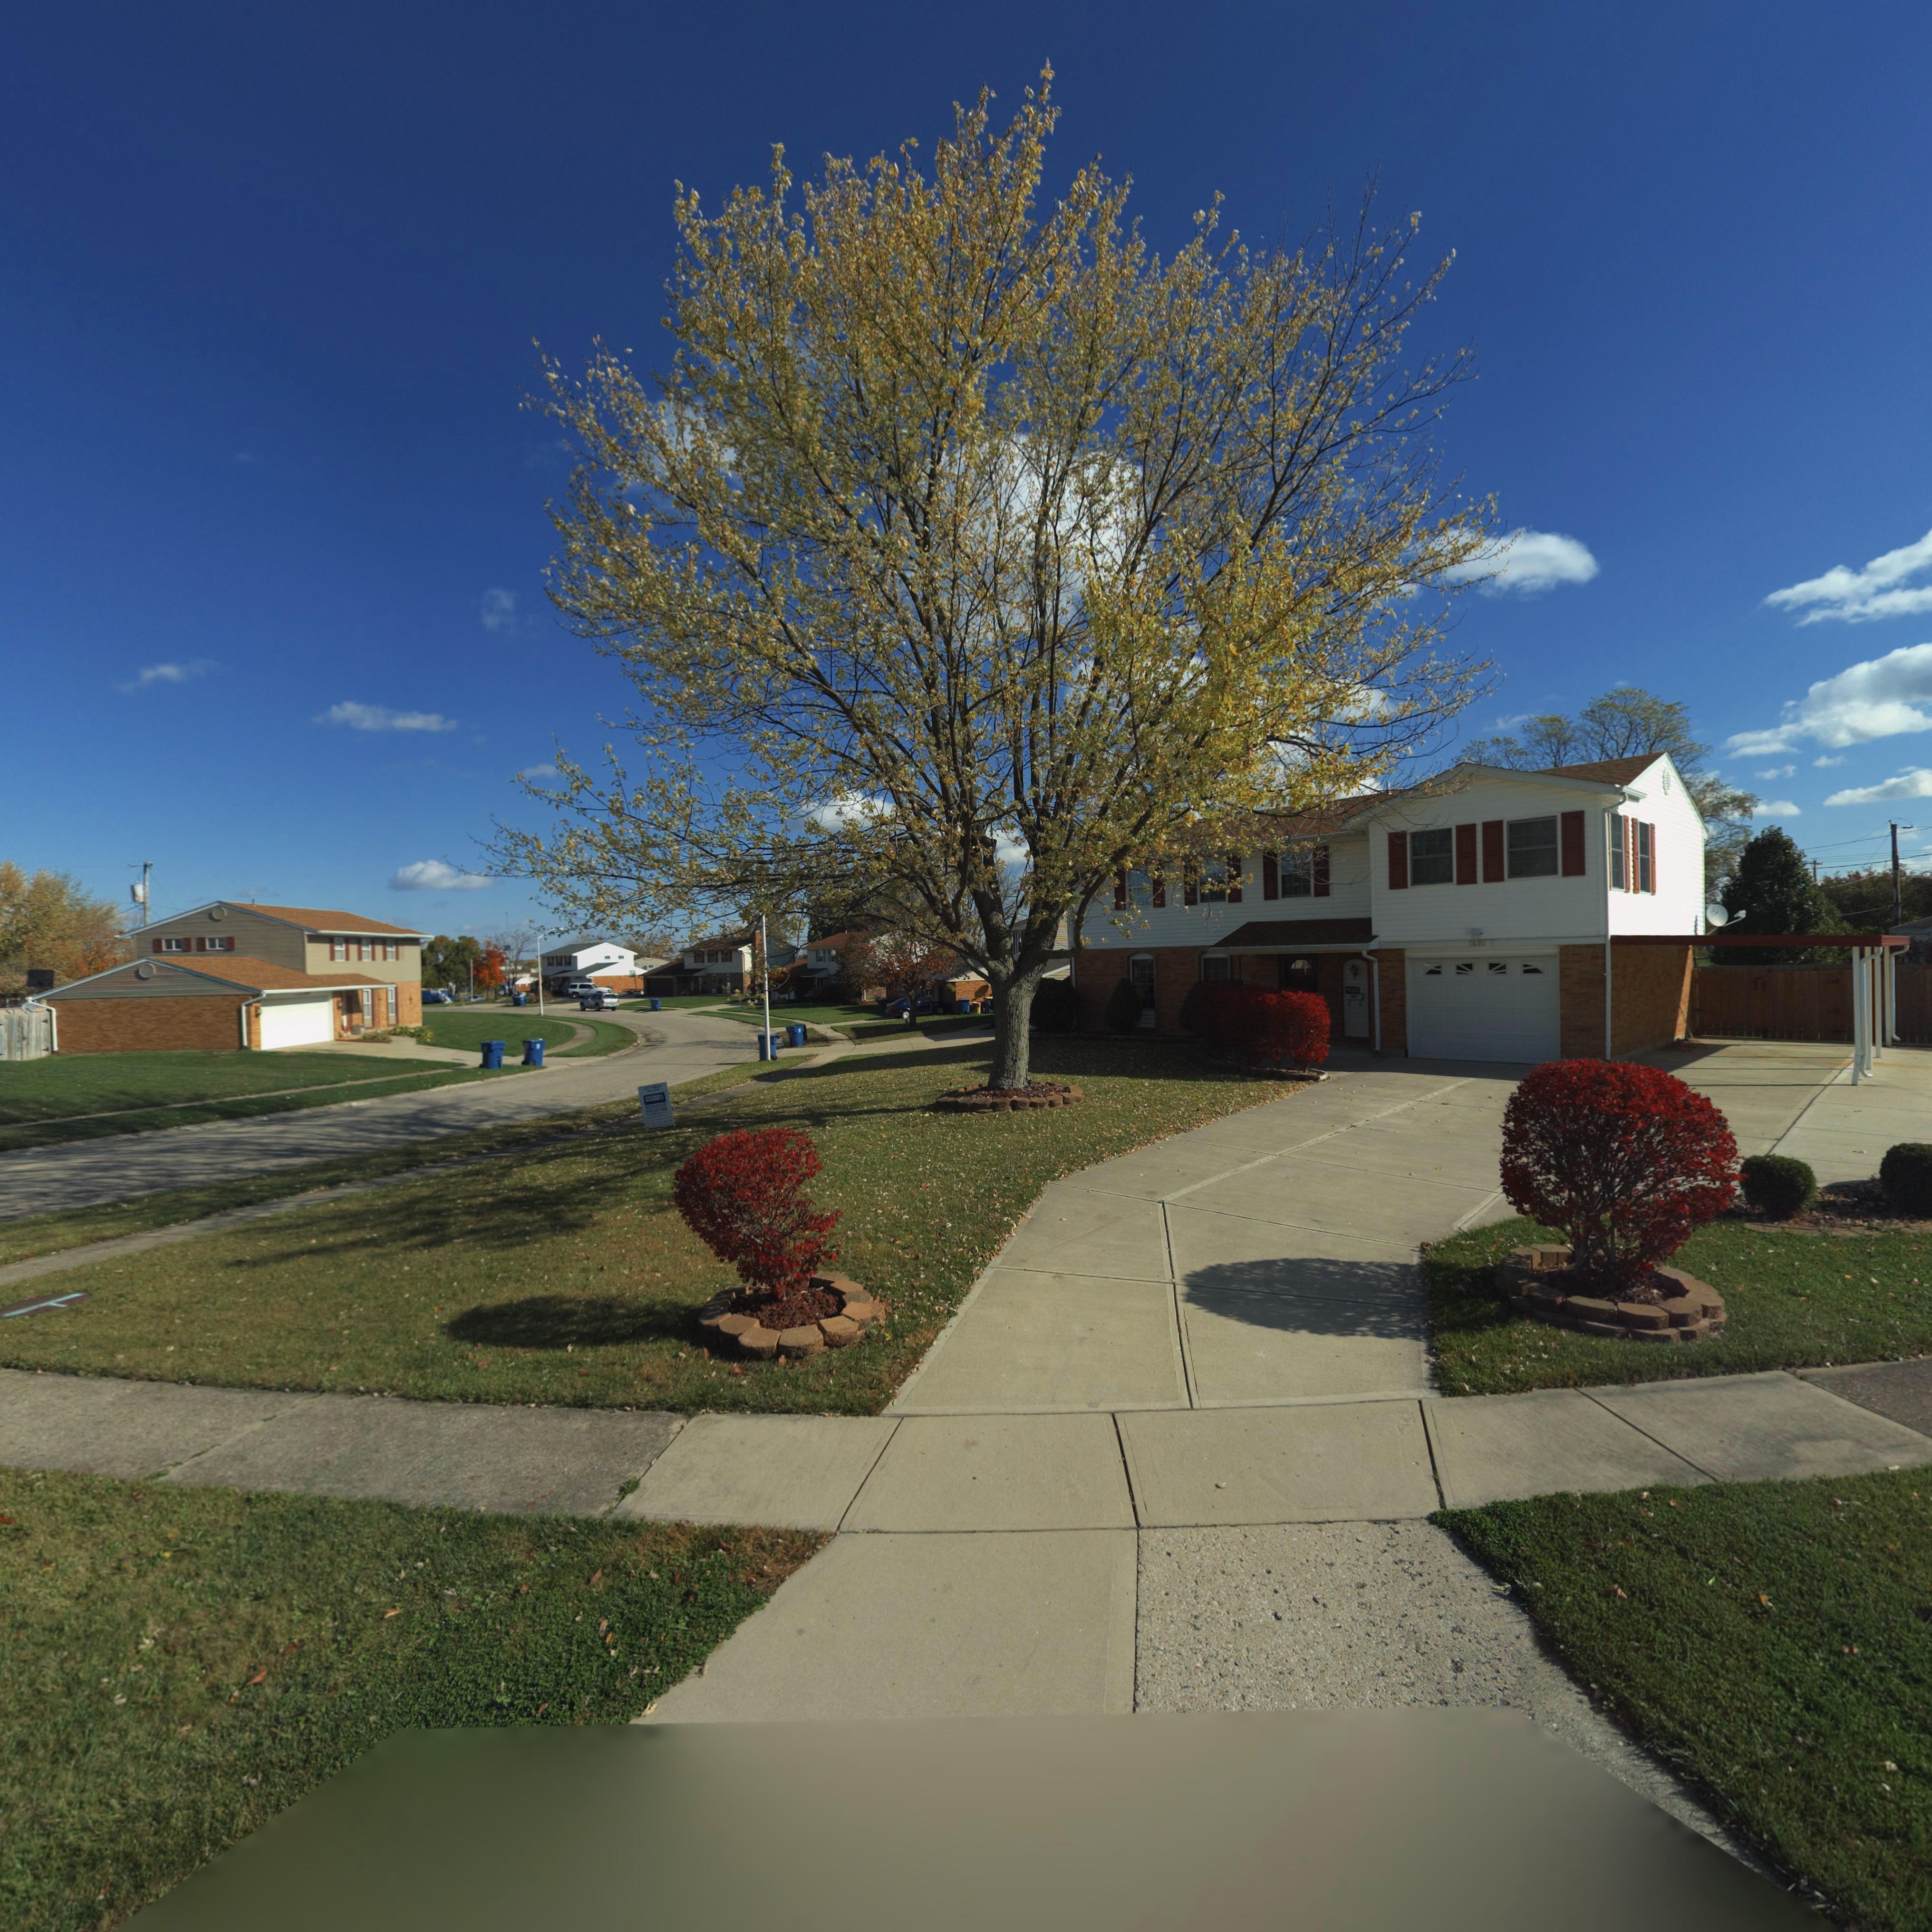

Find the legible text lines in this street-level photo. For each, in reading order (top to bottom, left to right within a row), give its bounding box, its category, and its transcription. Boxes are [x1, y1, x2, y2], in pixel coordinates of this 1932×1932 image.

[1467, 939, 1488, 947] StreetNumber: 7620
[1343, 986, 1361, 994] StreetNumber: 7620